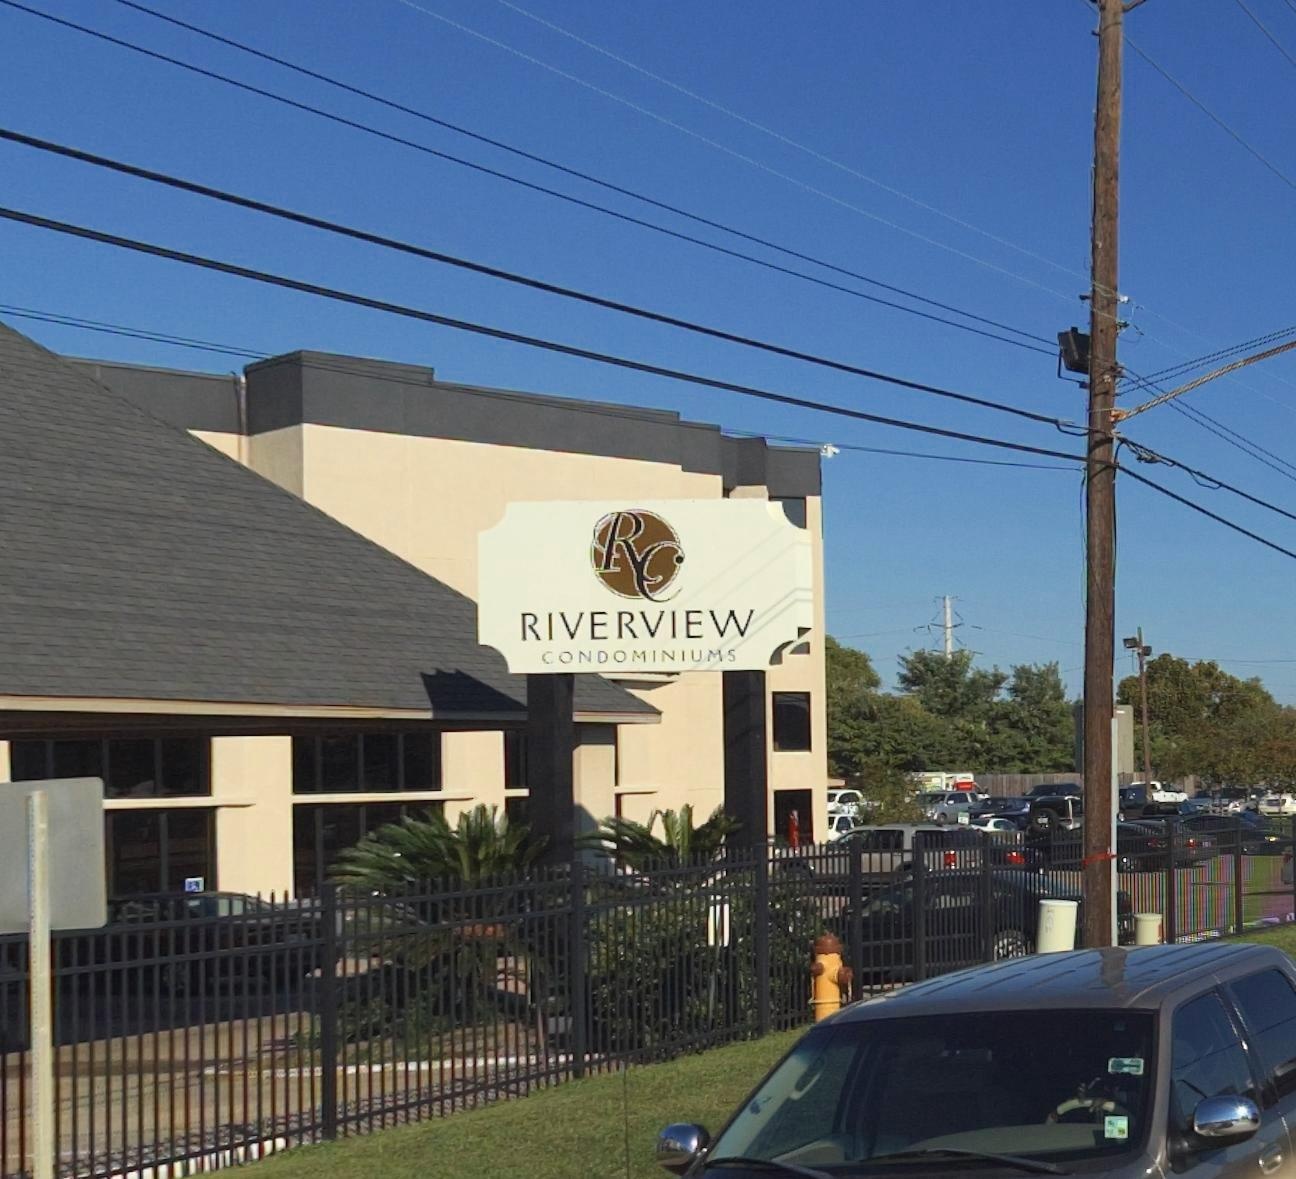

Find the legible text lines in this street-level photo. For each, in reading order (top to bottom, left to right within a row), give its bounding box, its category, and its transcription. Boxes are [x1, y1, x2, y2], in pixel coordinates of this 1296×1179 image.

[591, 508, 691, 607] None: RC
[519, 606, 760, 644] BusinessName: RIVERVIEW
[539, 646, 739, 667] BusinessName: CONDOMINIUMS